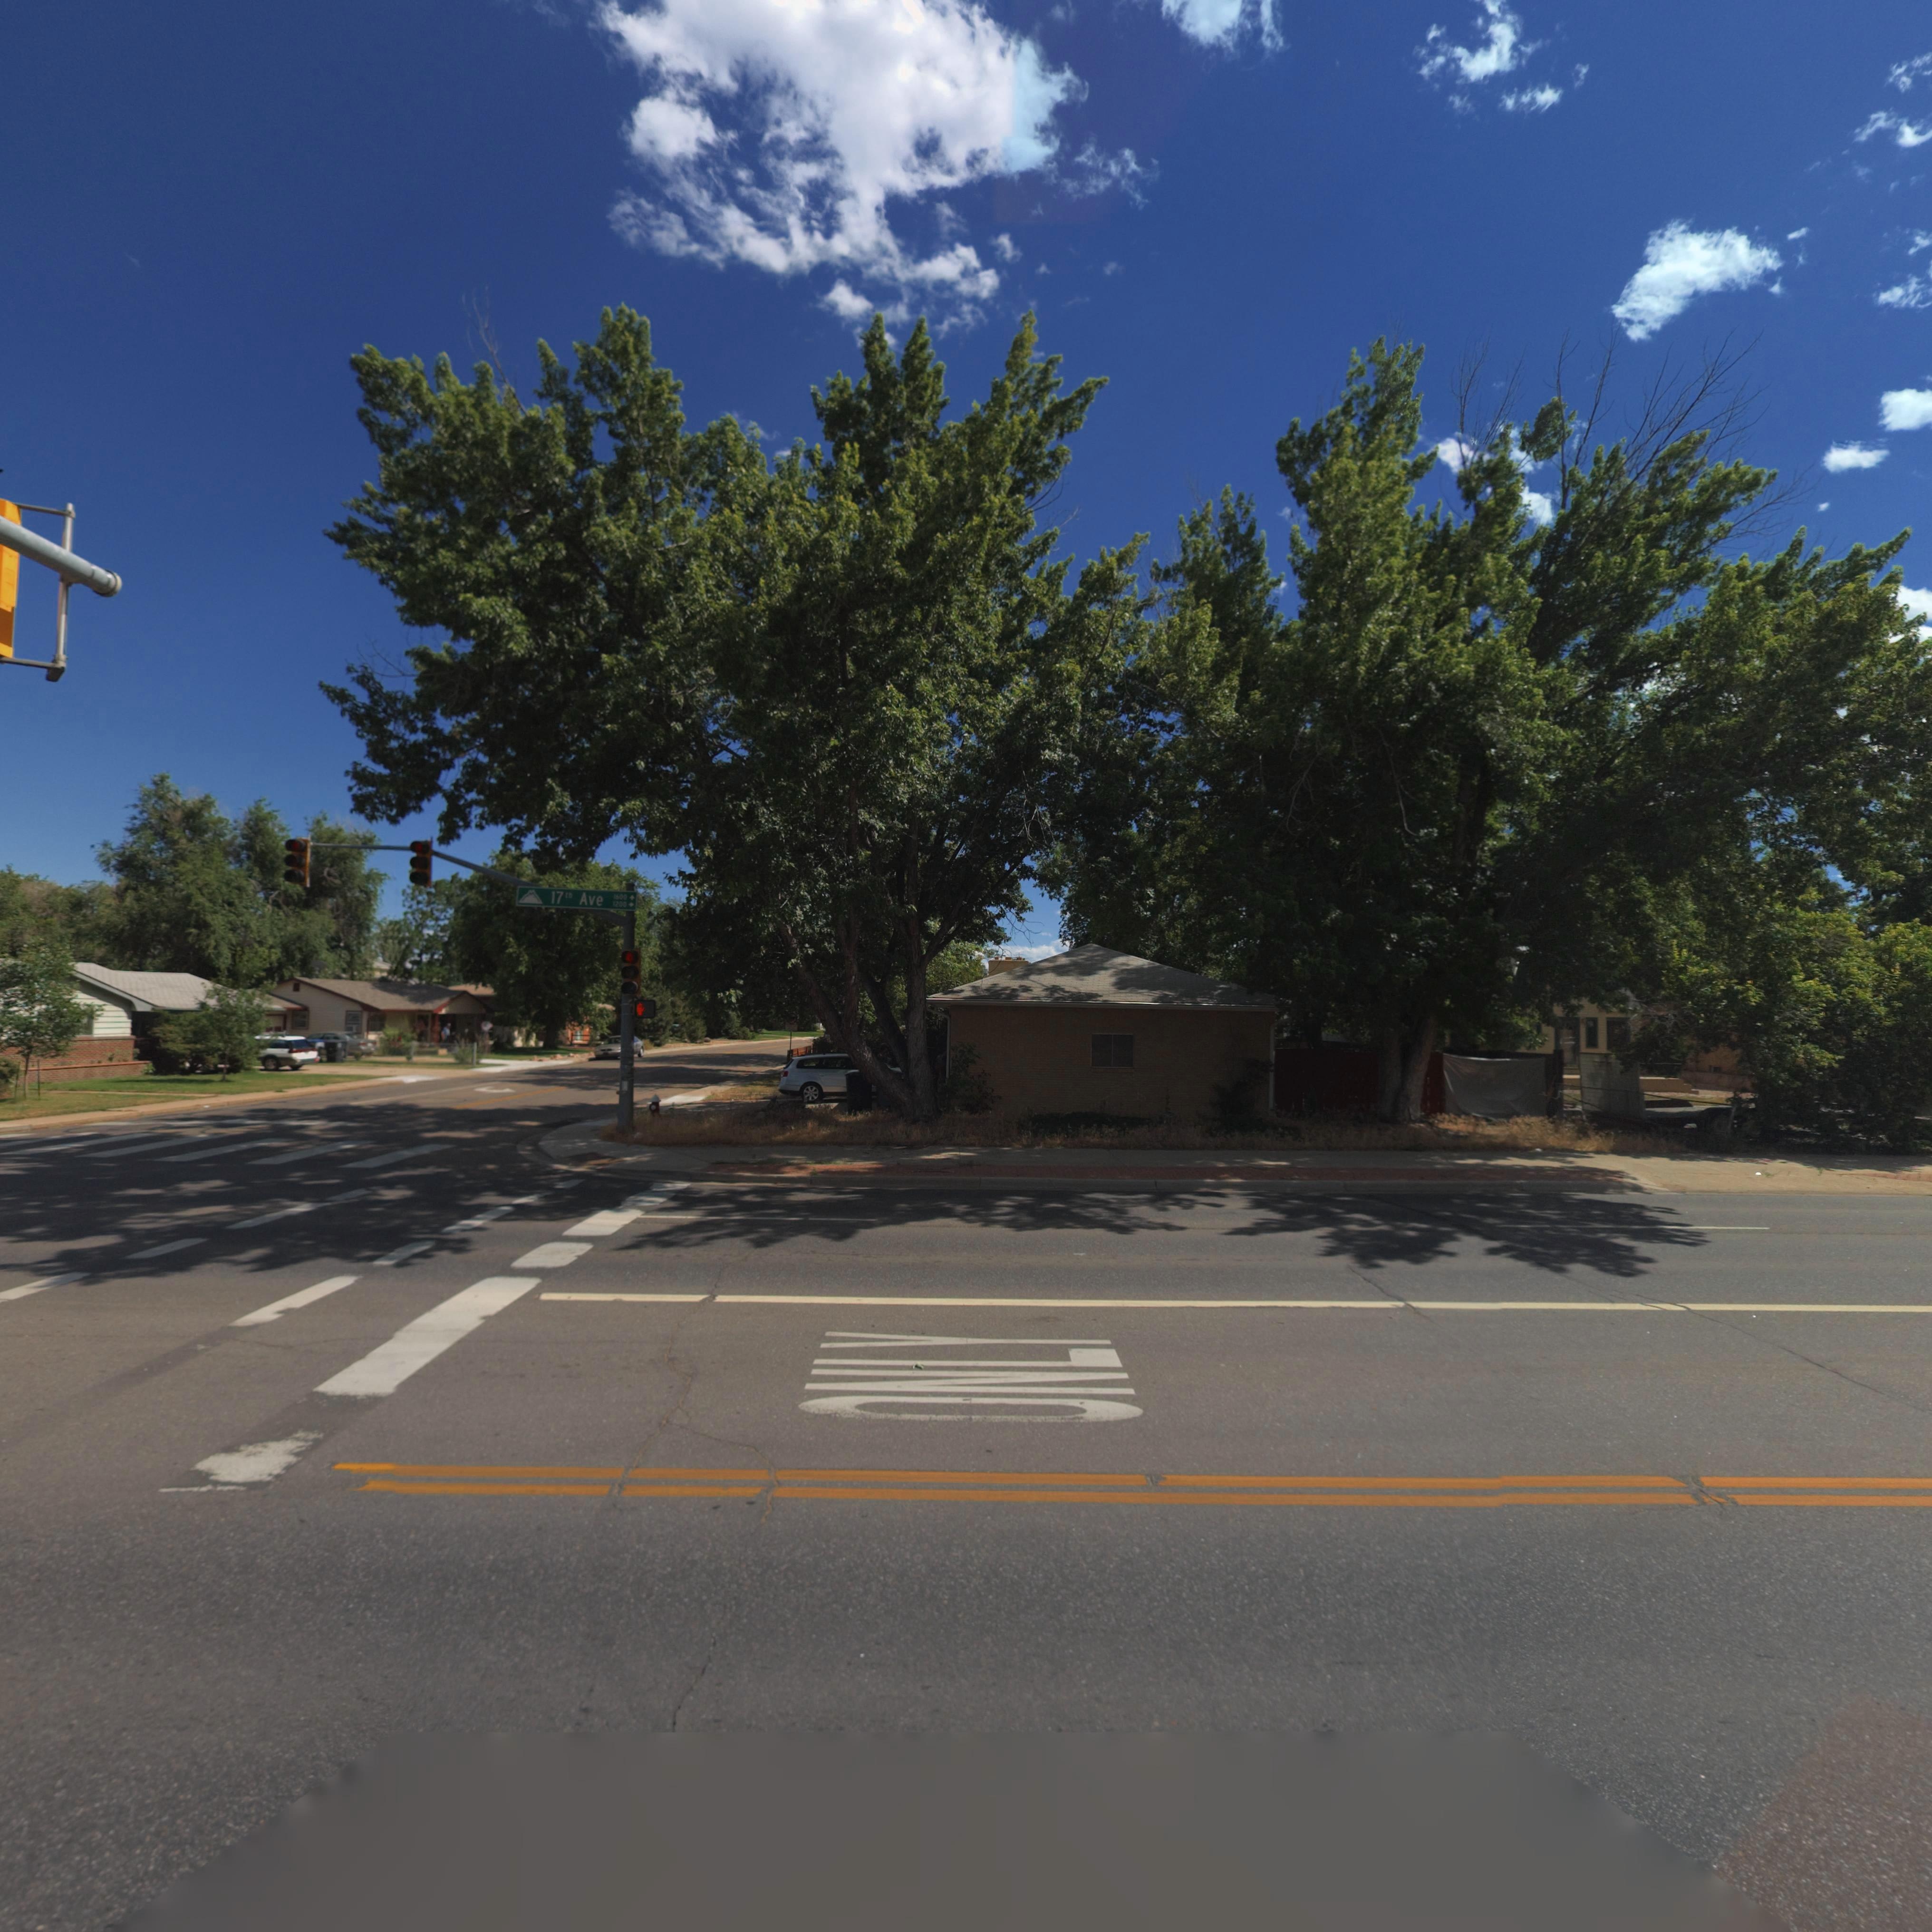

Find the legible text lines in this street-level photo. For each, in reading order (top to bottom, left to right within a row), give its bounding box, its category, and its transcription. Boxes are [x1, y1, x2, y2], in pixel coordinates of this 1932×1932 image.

[551, 890, 603, 906] StreetName: 17th Ave
[613, 893, 628, 900] StreetNumberRange: 1600
[612, 900, 634, 908] StreetNumberRange: 1200 ->